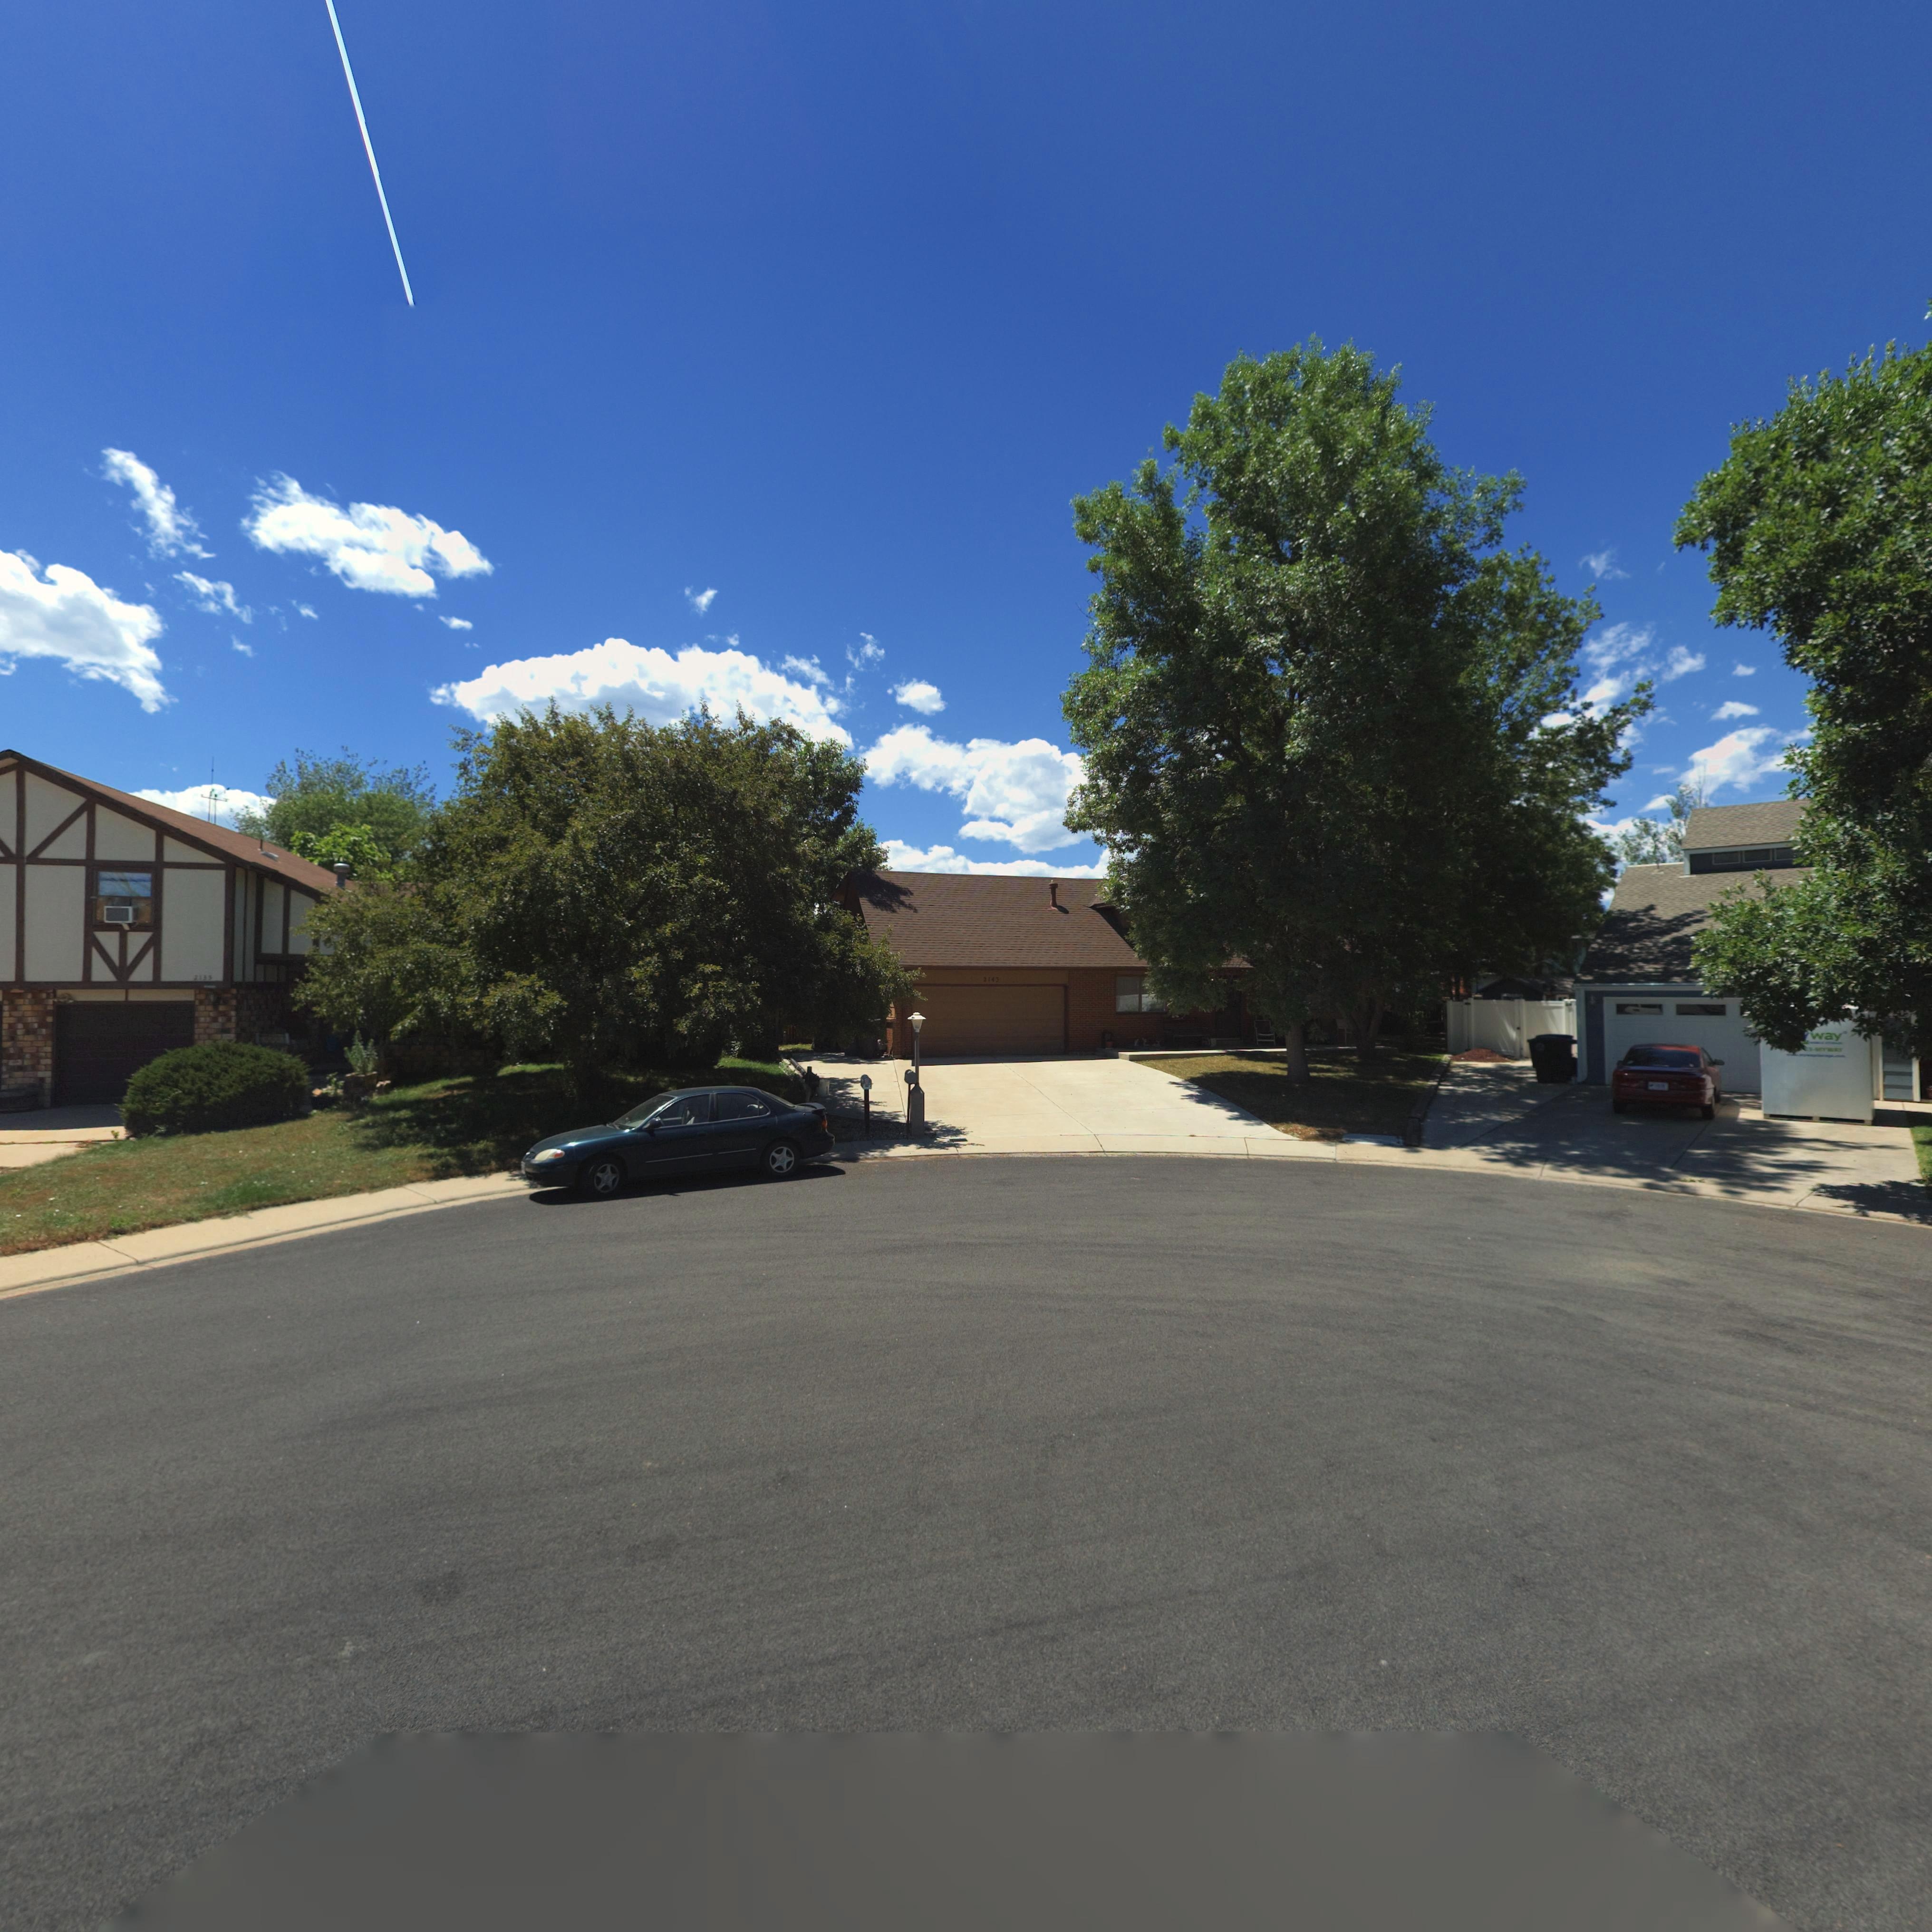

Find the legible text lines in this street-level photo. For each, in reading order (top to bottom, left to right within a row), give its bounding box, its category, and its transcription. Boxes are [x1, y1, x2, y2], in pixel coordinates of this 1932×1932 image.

[193, 974, 212, 980] StreetNumber: 2*2*
[983, 976, 999, 982] StreetNumber: 2143